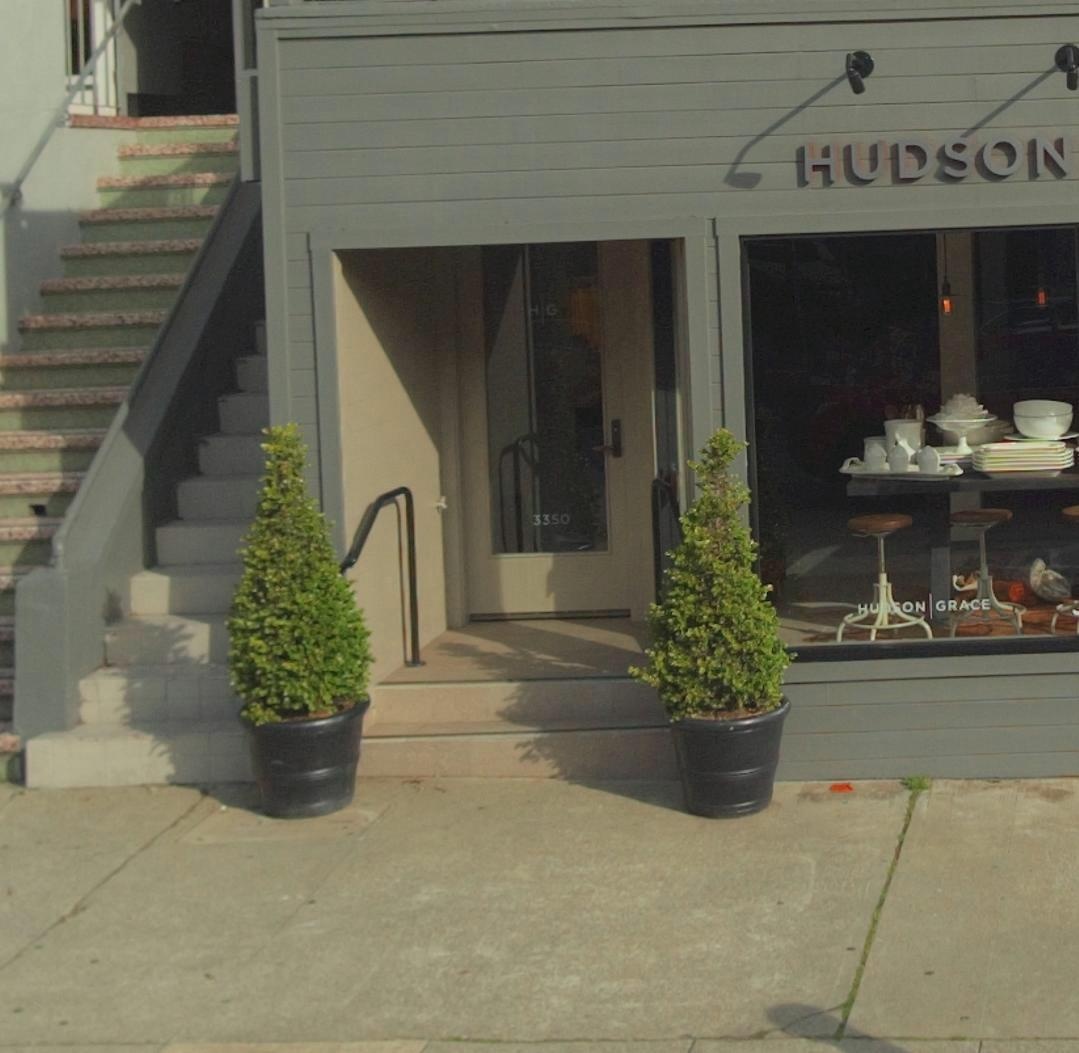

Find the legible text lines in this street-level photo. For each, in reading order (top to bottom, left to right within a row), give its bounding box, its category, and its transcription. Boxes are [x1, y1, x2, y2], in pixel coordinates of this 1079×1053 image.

[800, 132, 1075, 188] BusinessName: HUDSON
[525, 301, 560, 320] None: H*G
[531, 511, 572, 528] StreetNumber: 3350
[855, 595, 994, 619] BusinessName: HU**ON * GRACE